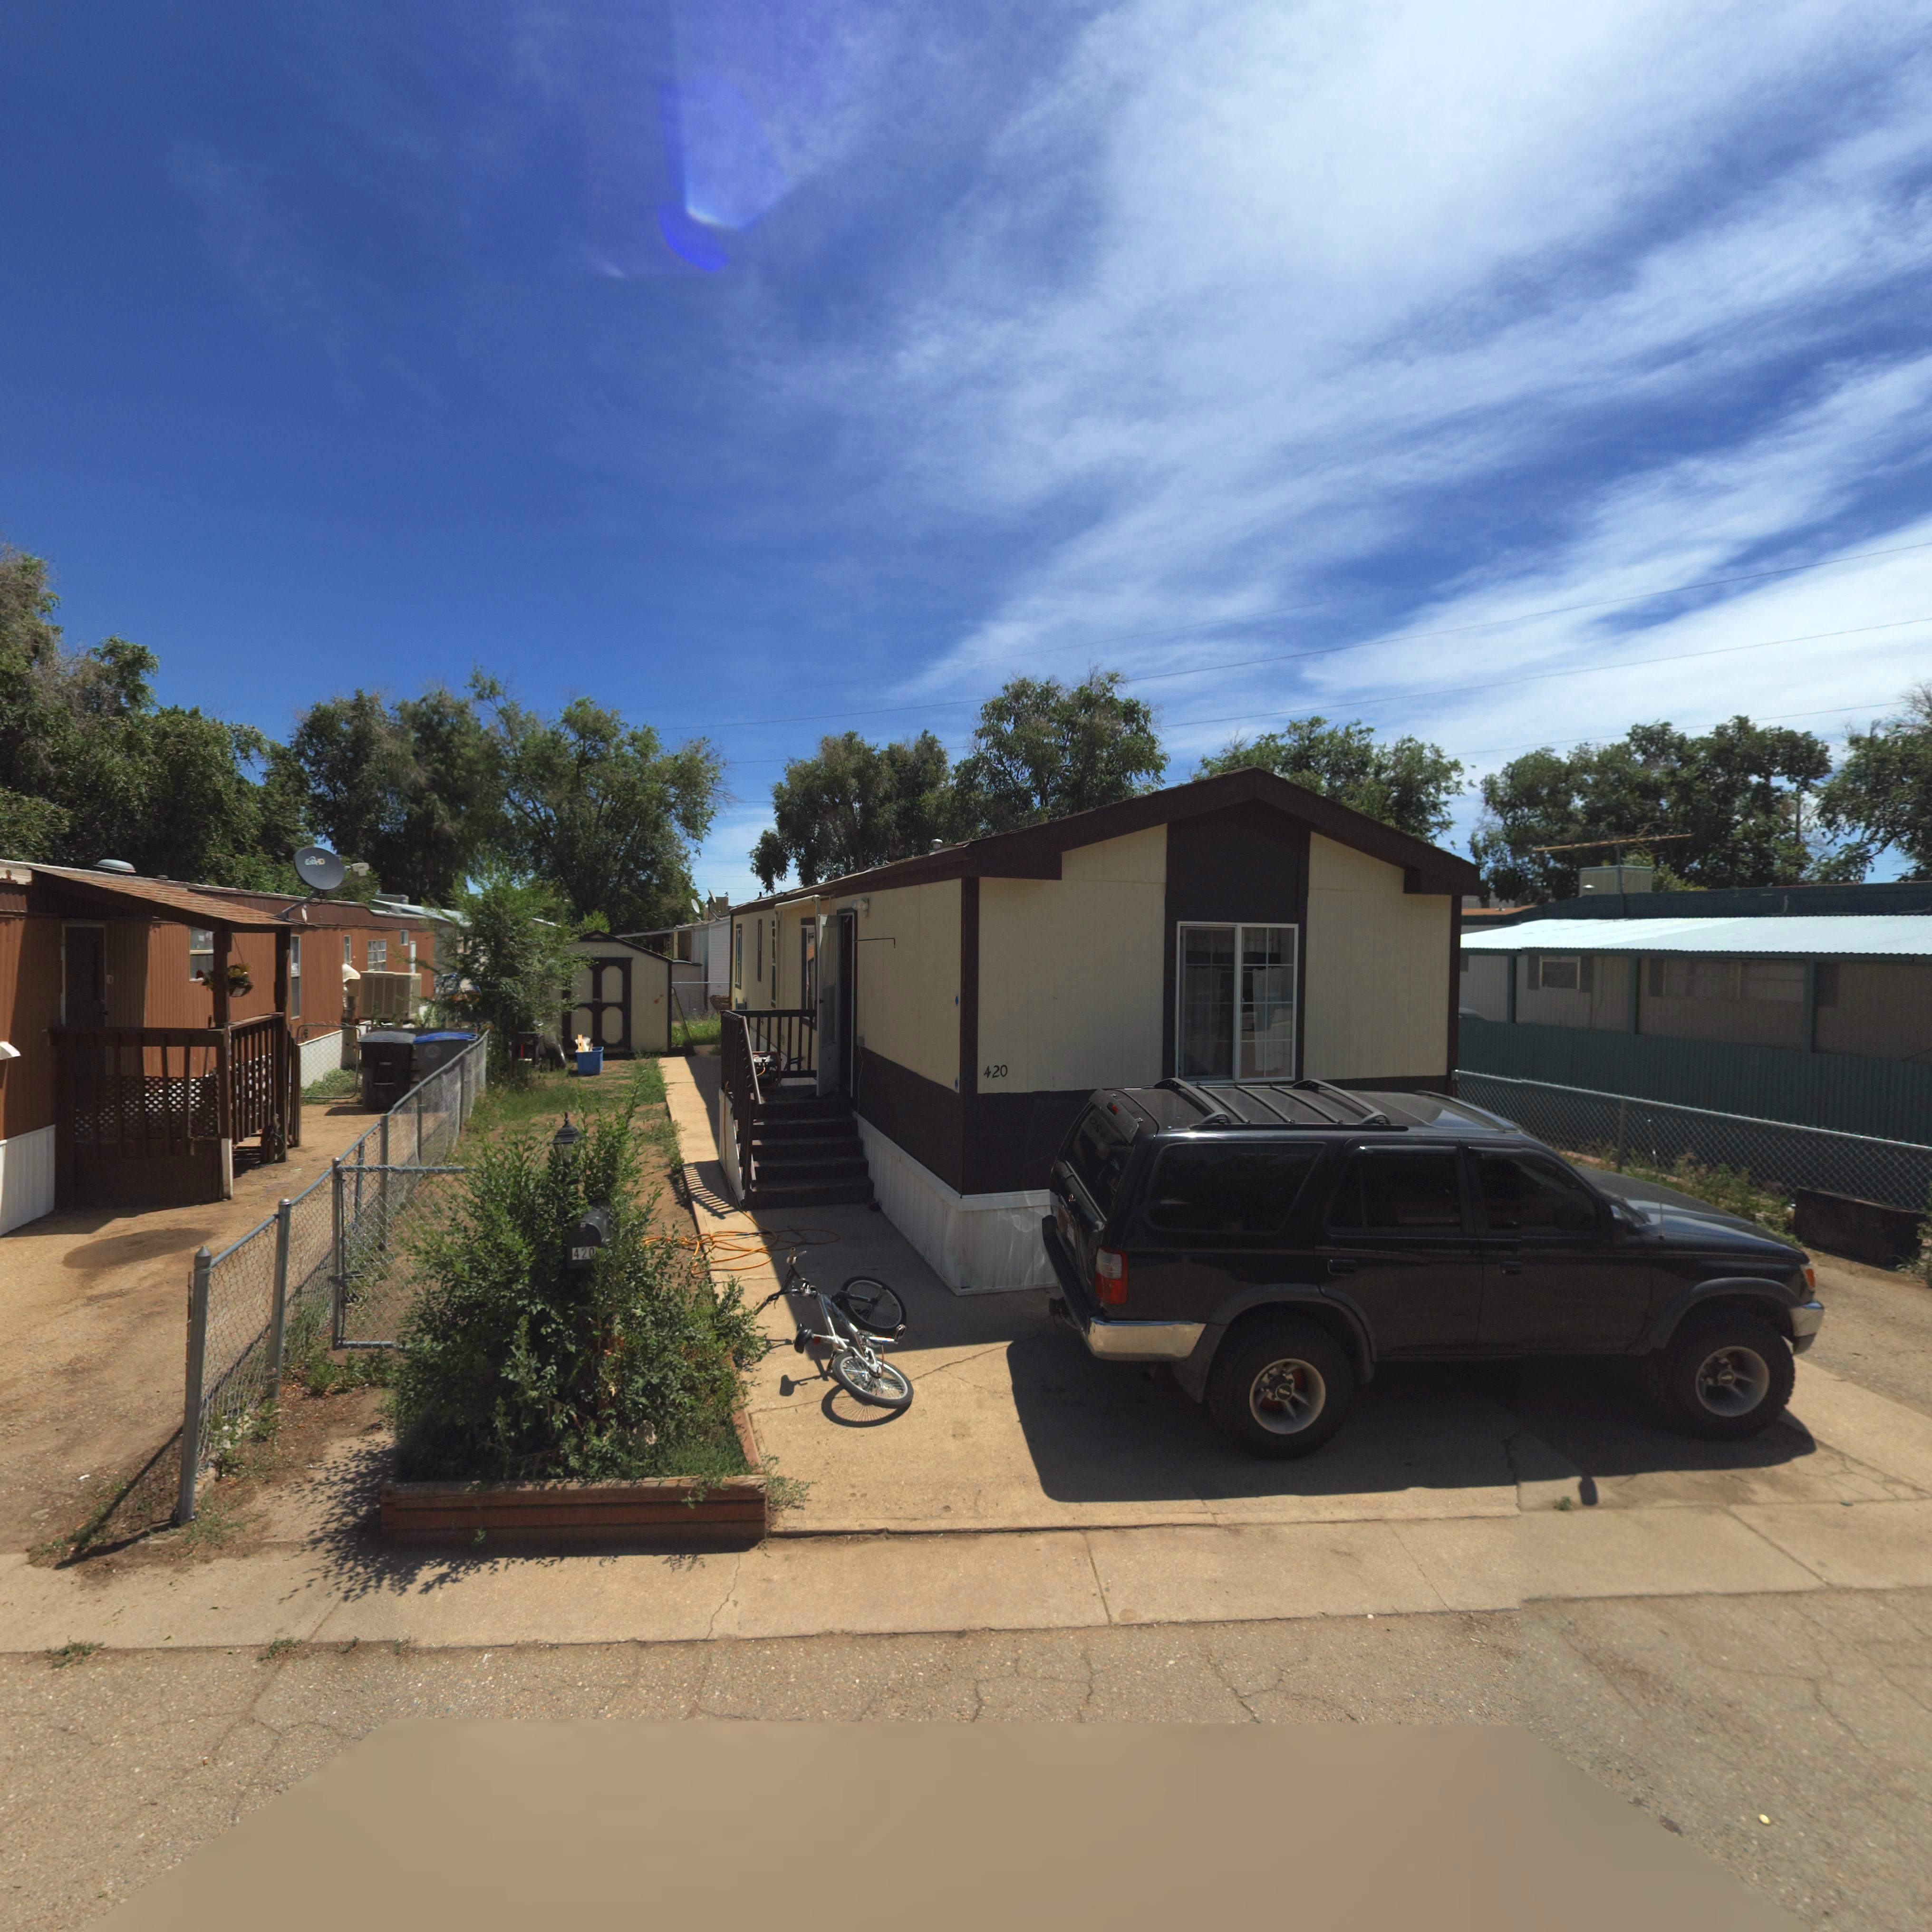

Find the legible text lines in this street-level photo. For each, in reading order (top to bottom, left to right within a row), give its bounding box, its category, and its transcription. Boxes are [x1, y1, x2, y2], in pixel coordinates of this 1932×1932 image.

[983, 1063, 1008, 1078] StreetNumber: 420
[573, 1246, 595, 1259] StreetNumber: 42*